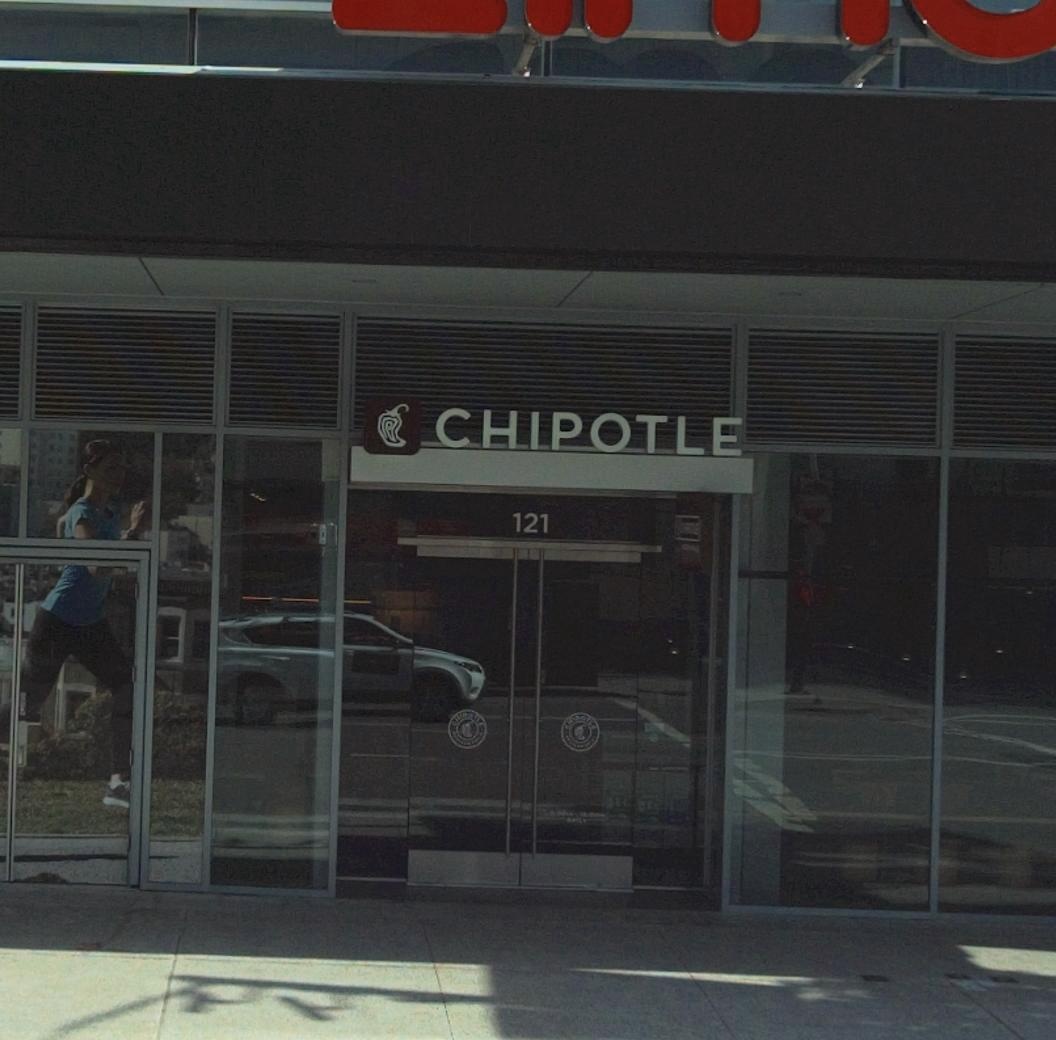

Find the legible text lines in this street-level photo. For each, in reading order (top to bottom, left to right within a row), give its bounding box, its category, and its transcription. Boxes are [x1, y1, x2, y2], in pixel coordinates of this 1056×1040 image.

[429, 402, 749, 461] BusinessName: CHIPOTLE
[510, 509, 552, 537] StreetNumber: 121